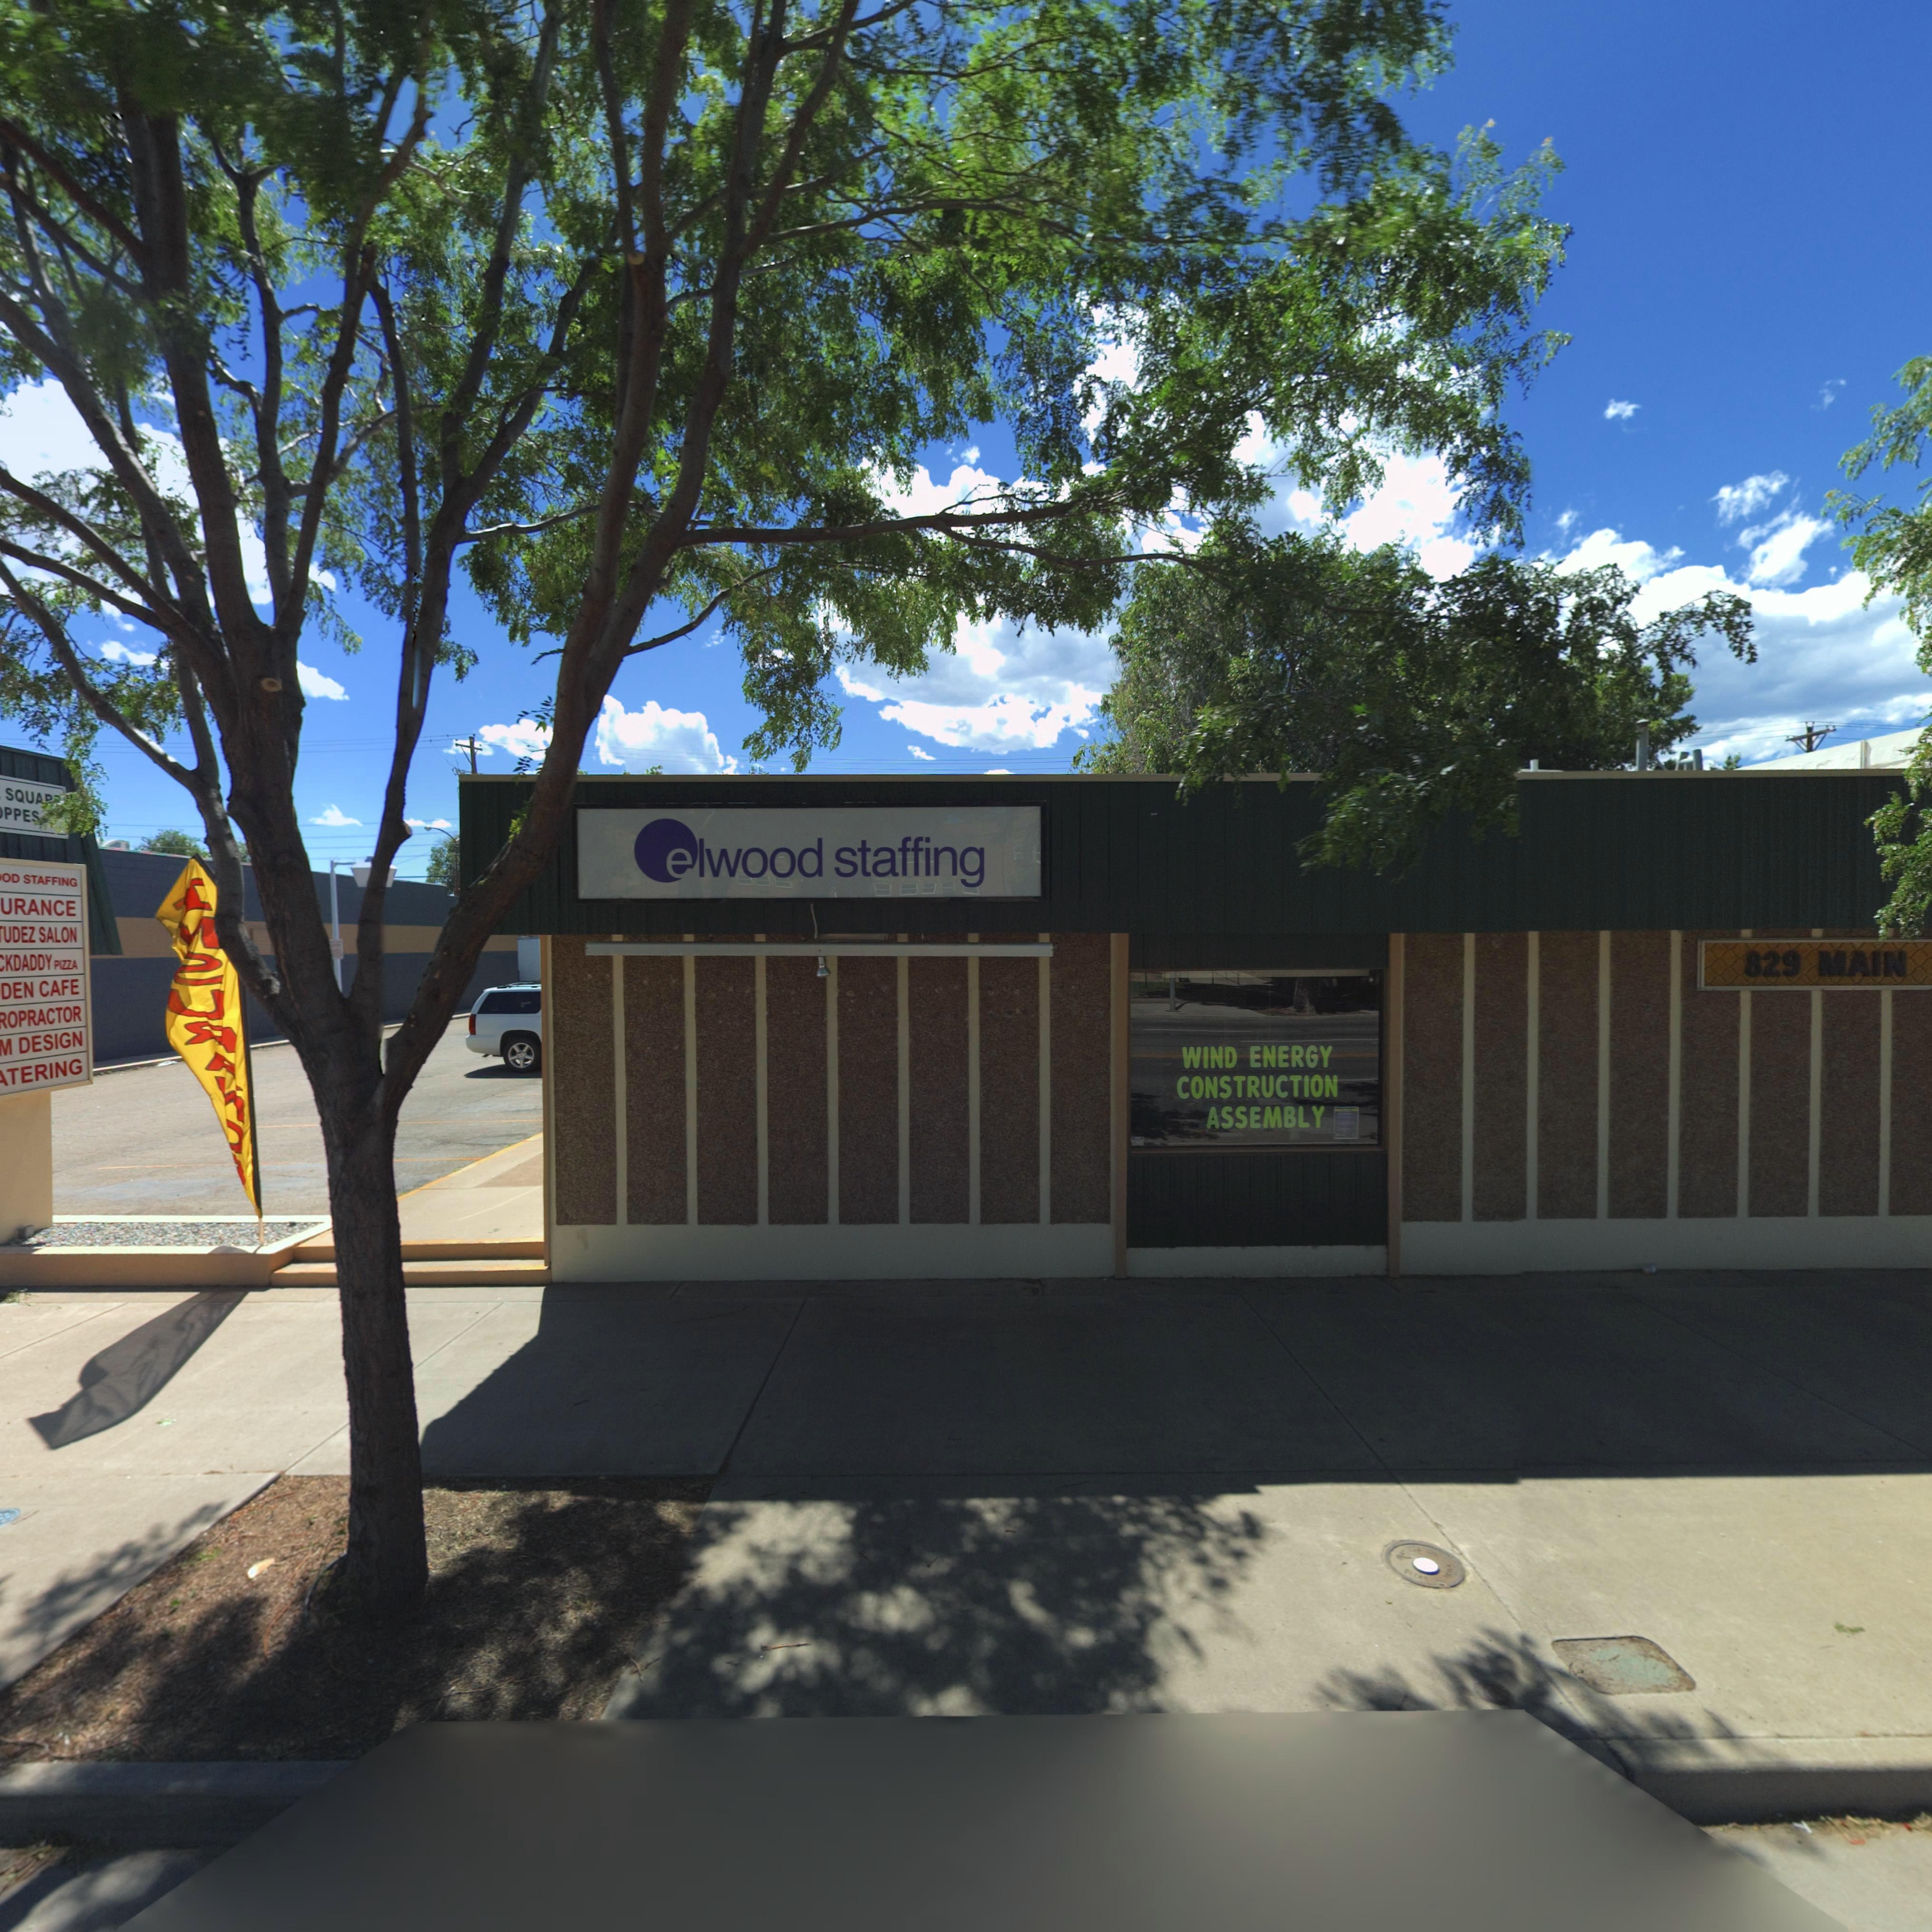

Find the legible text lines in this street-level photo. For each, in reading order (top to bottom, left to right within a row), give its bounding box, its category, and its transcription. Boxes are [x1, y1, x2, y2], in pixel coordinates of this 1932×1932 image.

[664, 835, 986, 889] BusinessName: elwood staffing
[1, 872, 77, 888] BusinessName: OD STAFFING
[3, 925, 77, 944] BusinessName: UDEZ SALON
[4, 954, 78, 972] BusinessName: KDADDY PIZZA
[1741, 948, 1802, 979] StreetNumber: 829
[1816, 949, 1908, 978] StreetName: MAIN
[0, 978, 79, 1000] BusinessName: DEN CAFE
[17, 1030, 83, 1055] BusinessName: DESIGN